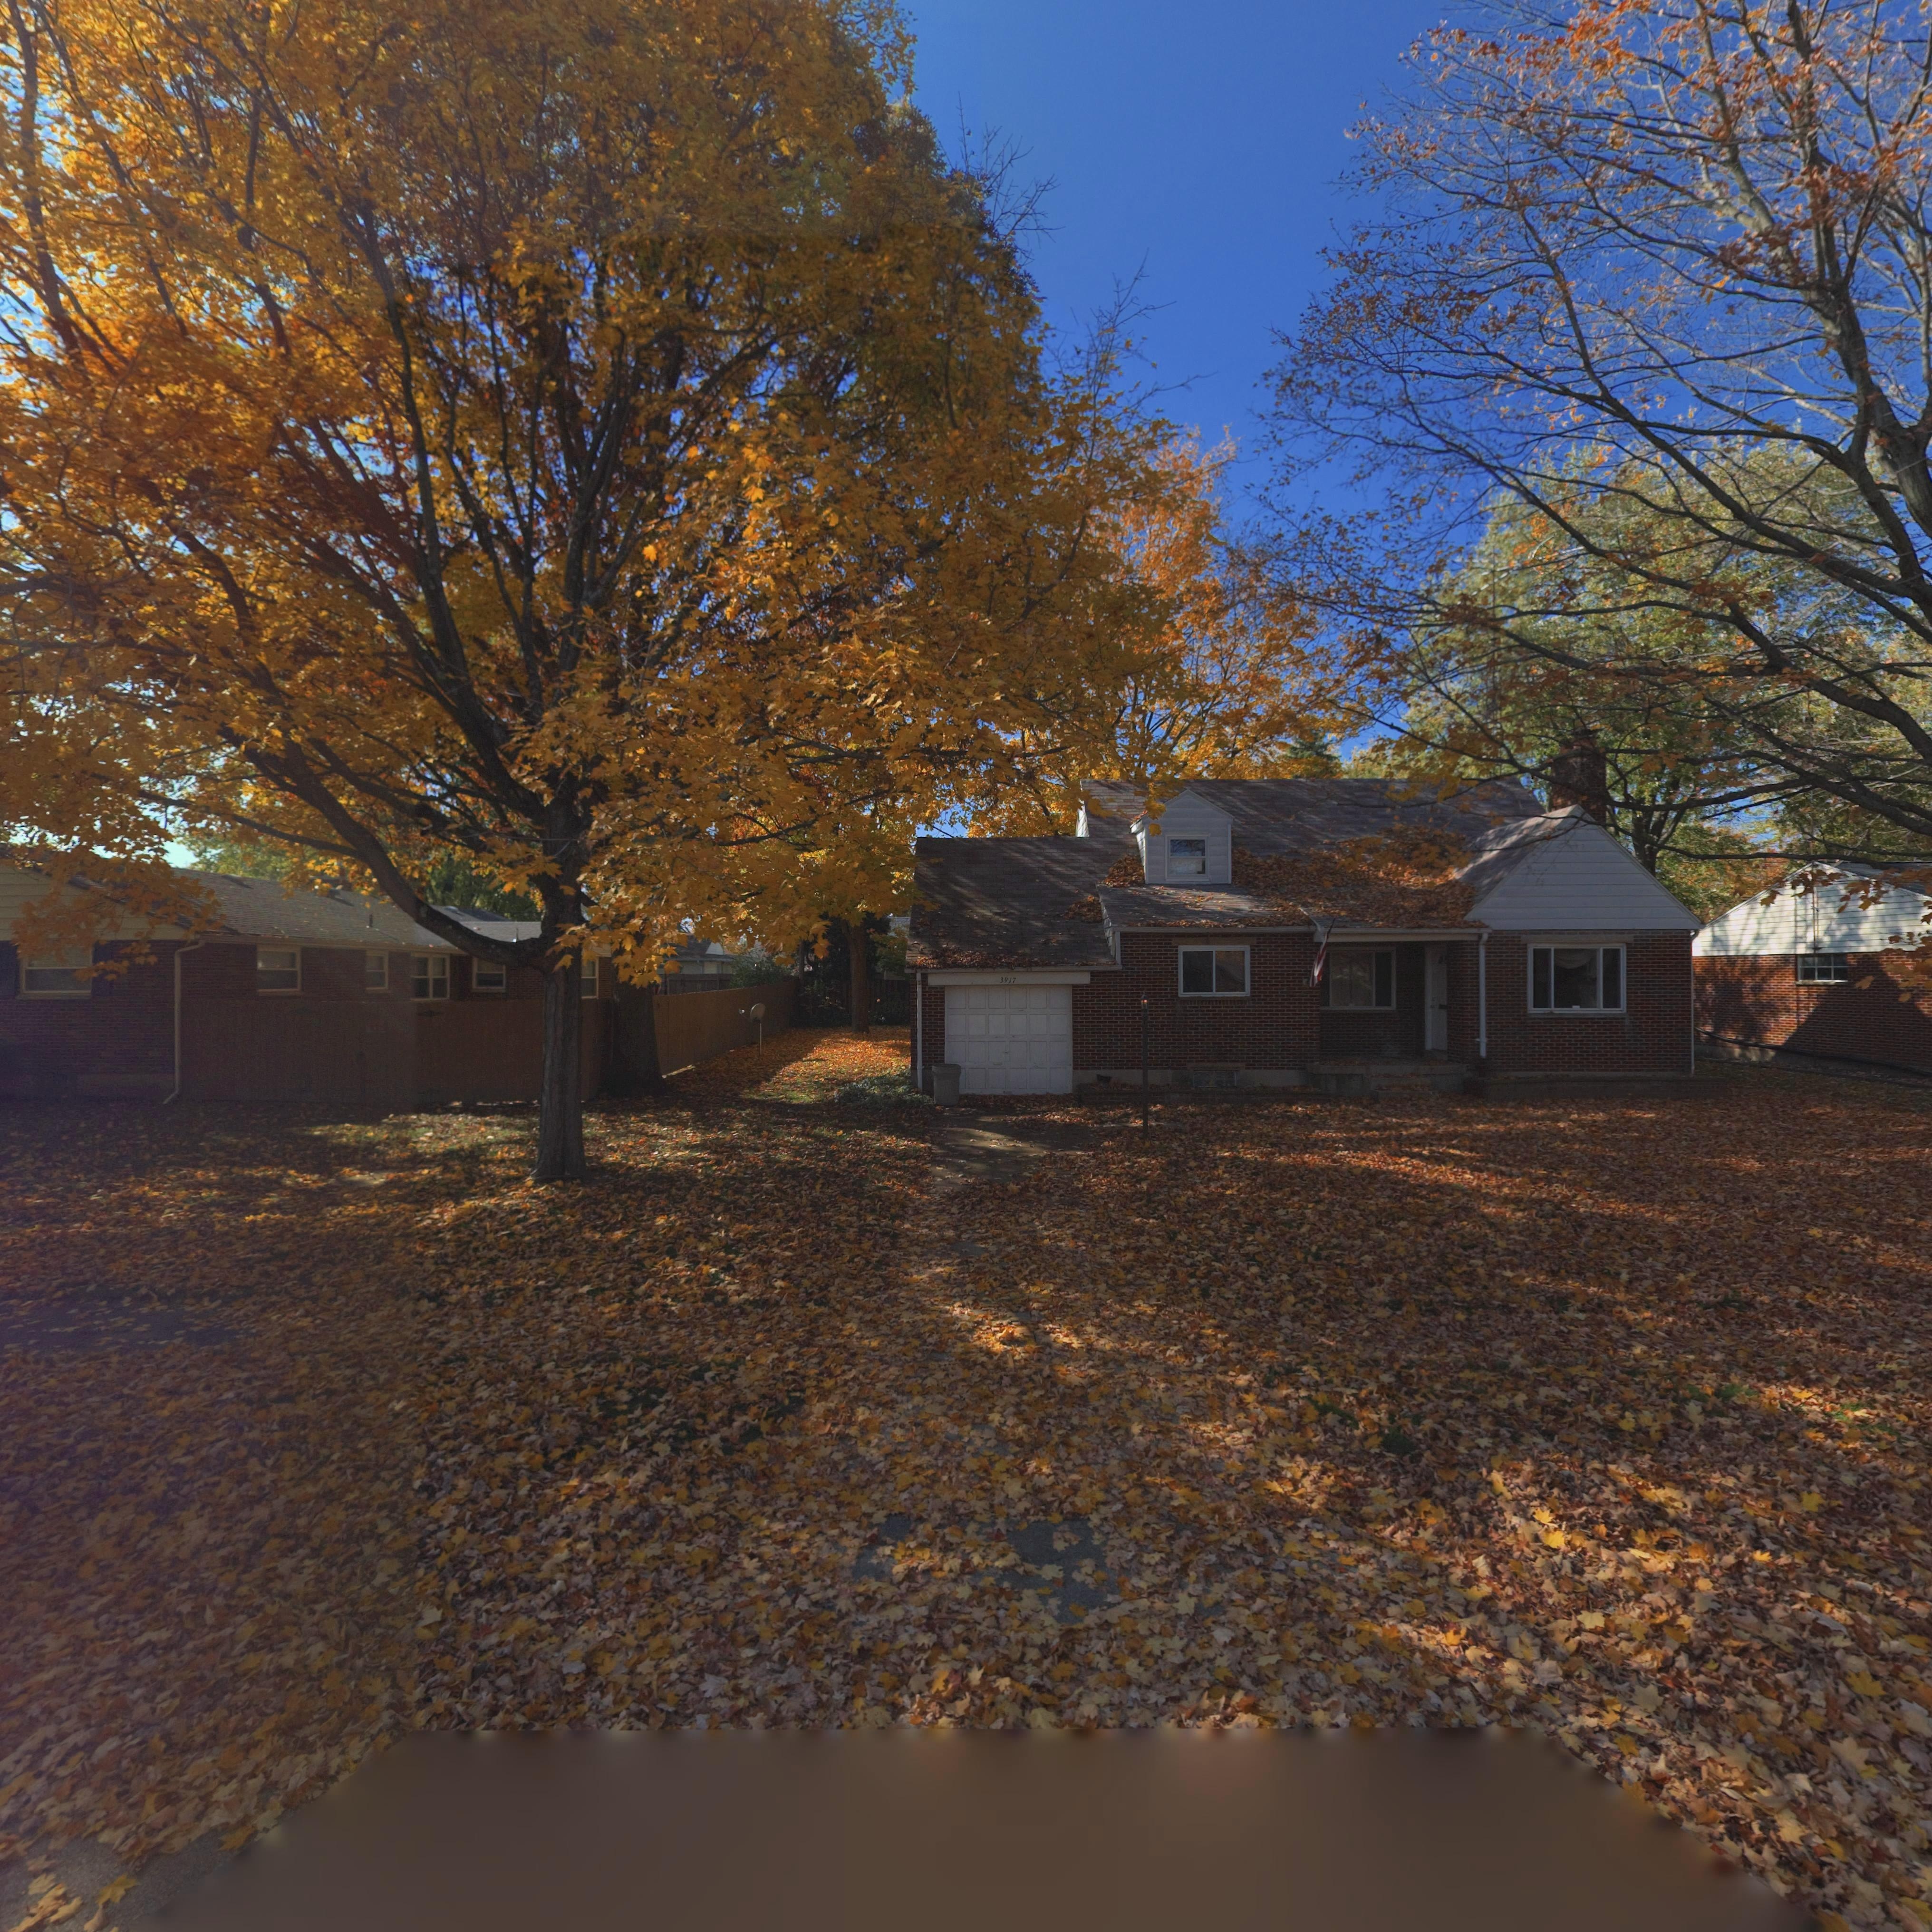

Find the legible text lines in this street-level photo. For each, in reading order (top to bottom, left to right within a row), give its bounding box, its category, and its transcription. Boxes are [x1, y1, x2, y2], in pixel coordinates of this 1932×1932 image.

[1000, 976, 1017, 984] StreetNumber: 3917